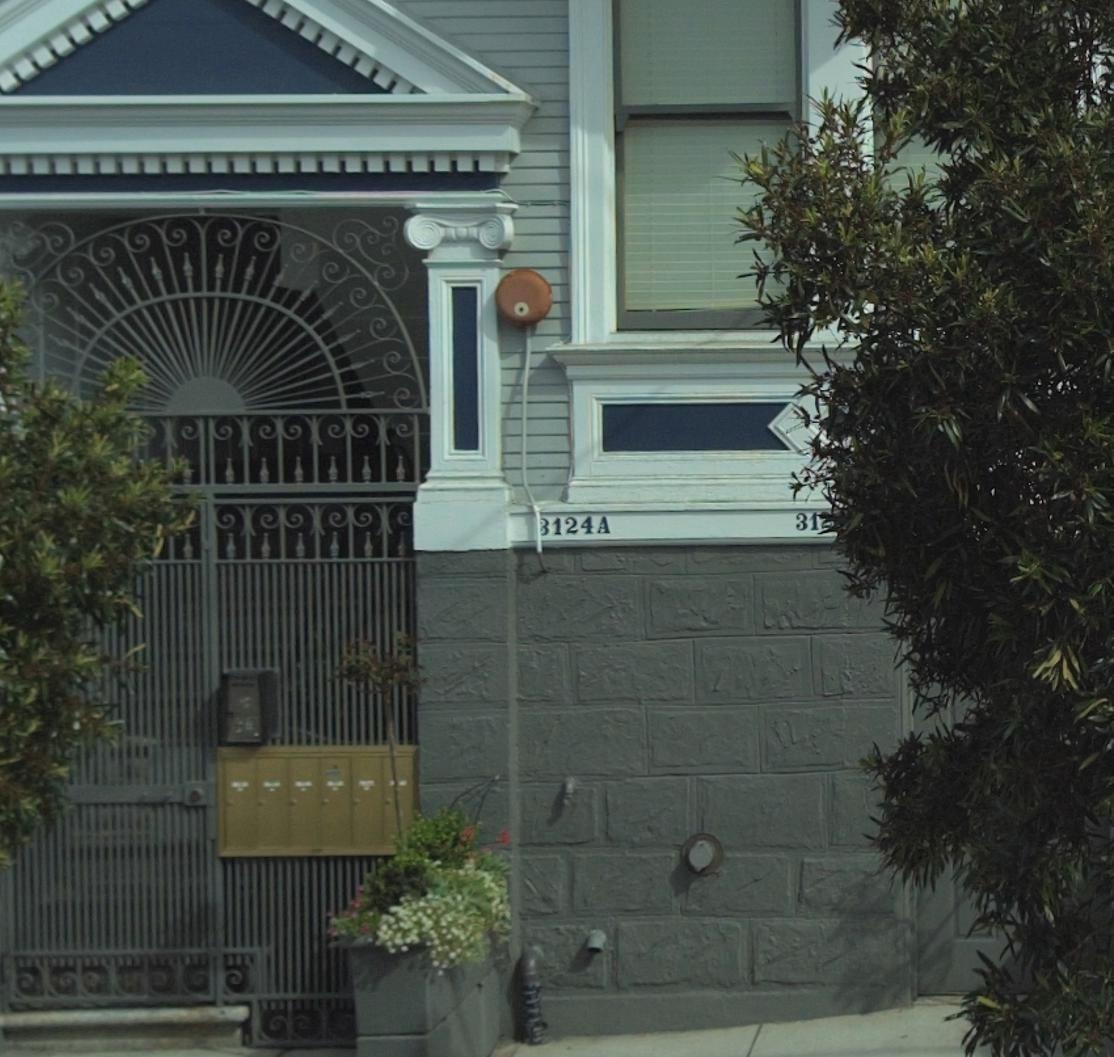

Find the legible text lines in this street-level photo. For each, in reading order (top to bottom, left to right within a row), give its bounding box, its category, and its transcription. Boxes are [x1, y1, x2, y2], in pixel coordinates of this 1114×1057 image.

[537, 514, 614, 538] StreetNumber: *124 A
[793, 510, 822, 534] StreetNumber: 31